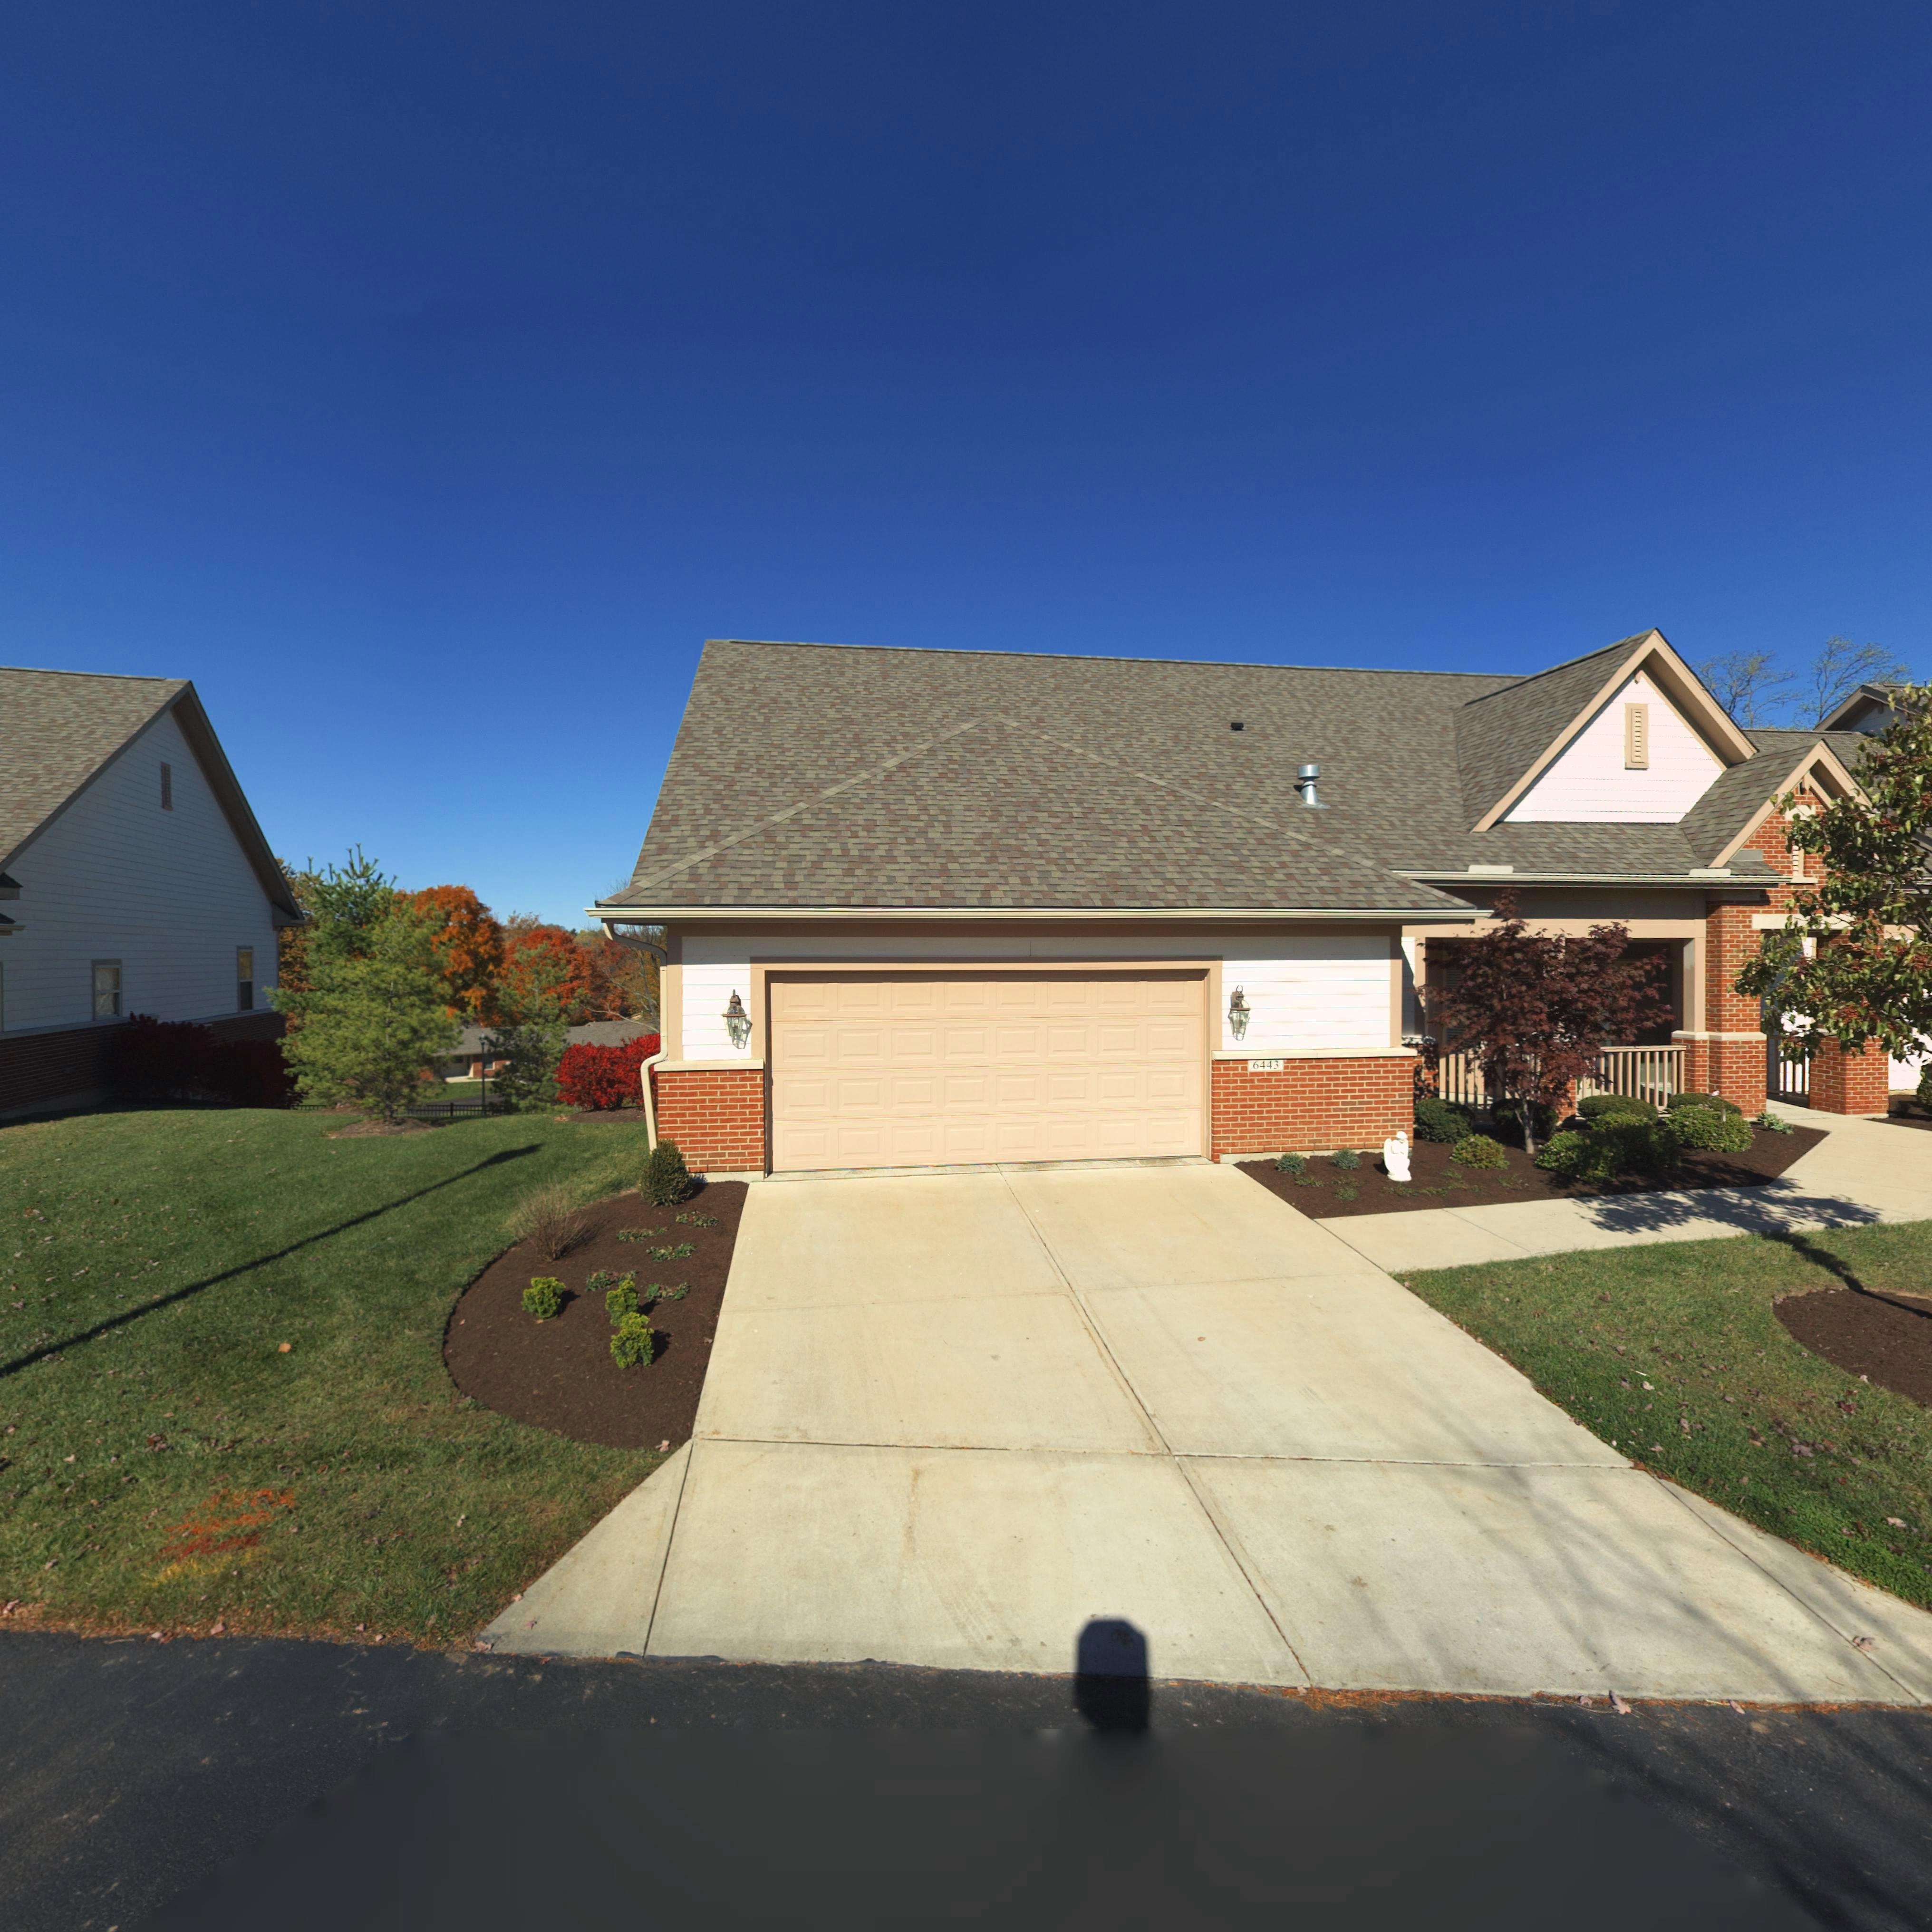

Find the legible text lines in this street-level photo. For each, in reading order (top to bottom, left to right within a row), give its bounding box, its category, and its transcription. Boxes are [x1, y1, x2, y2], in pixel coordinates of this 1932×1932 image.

[1252, 1060, 1280, 1071] StreetNumber: 6443